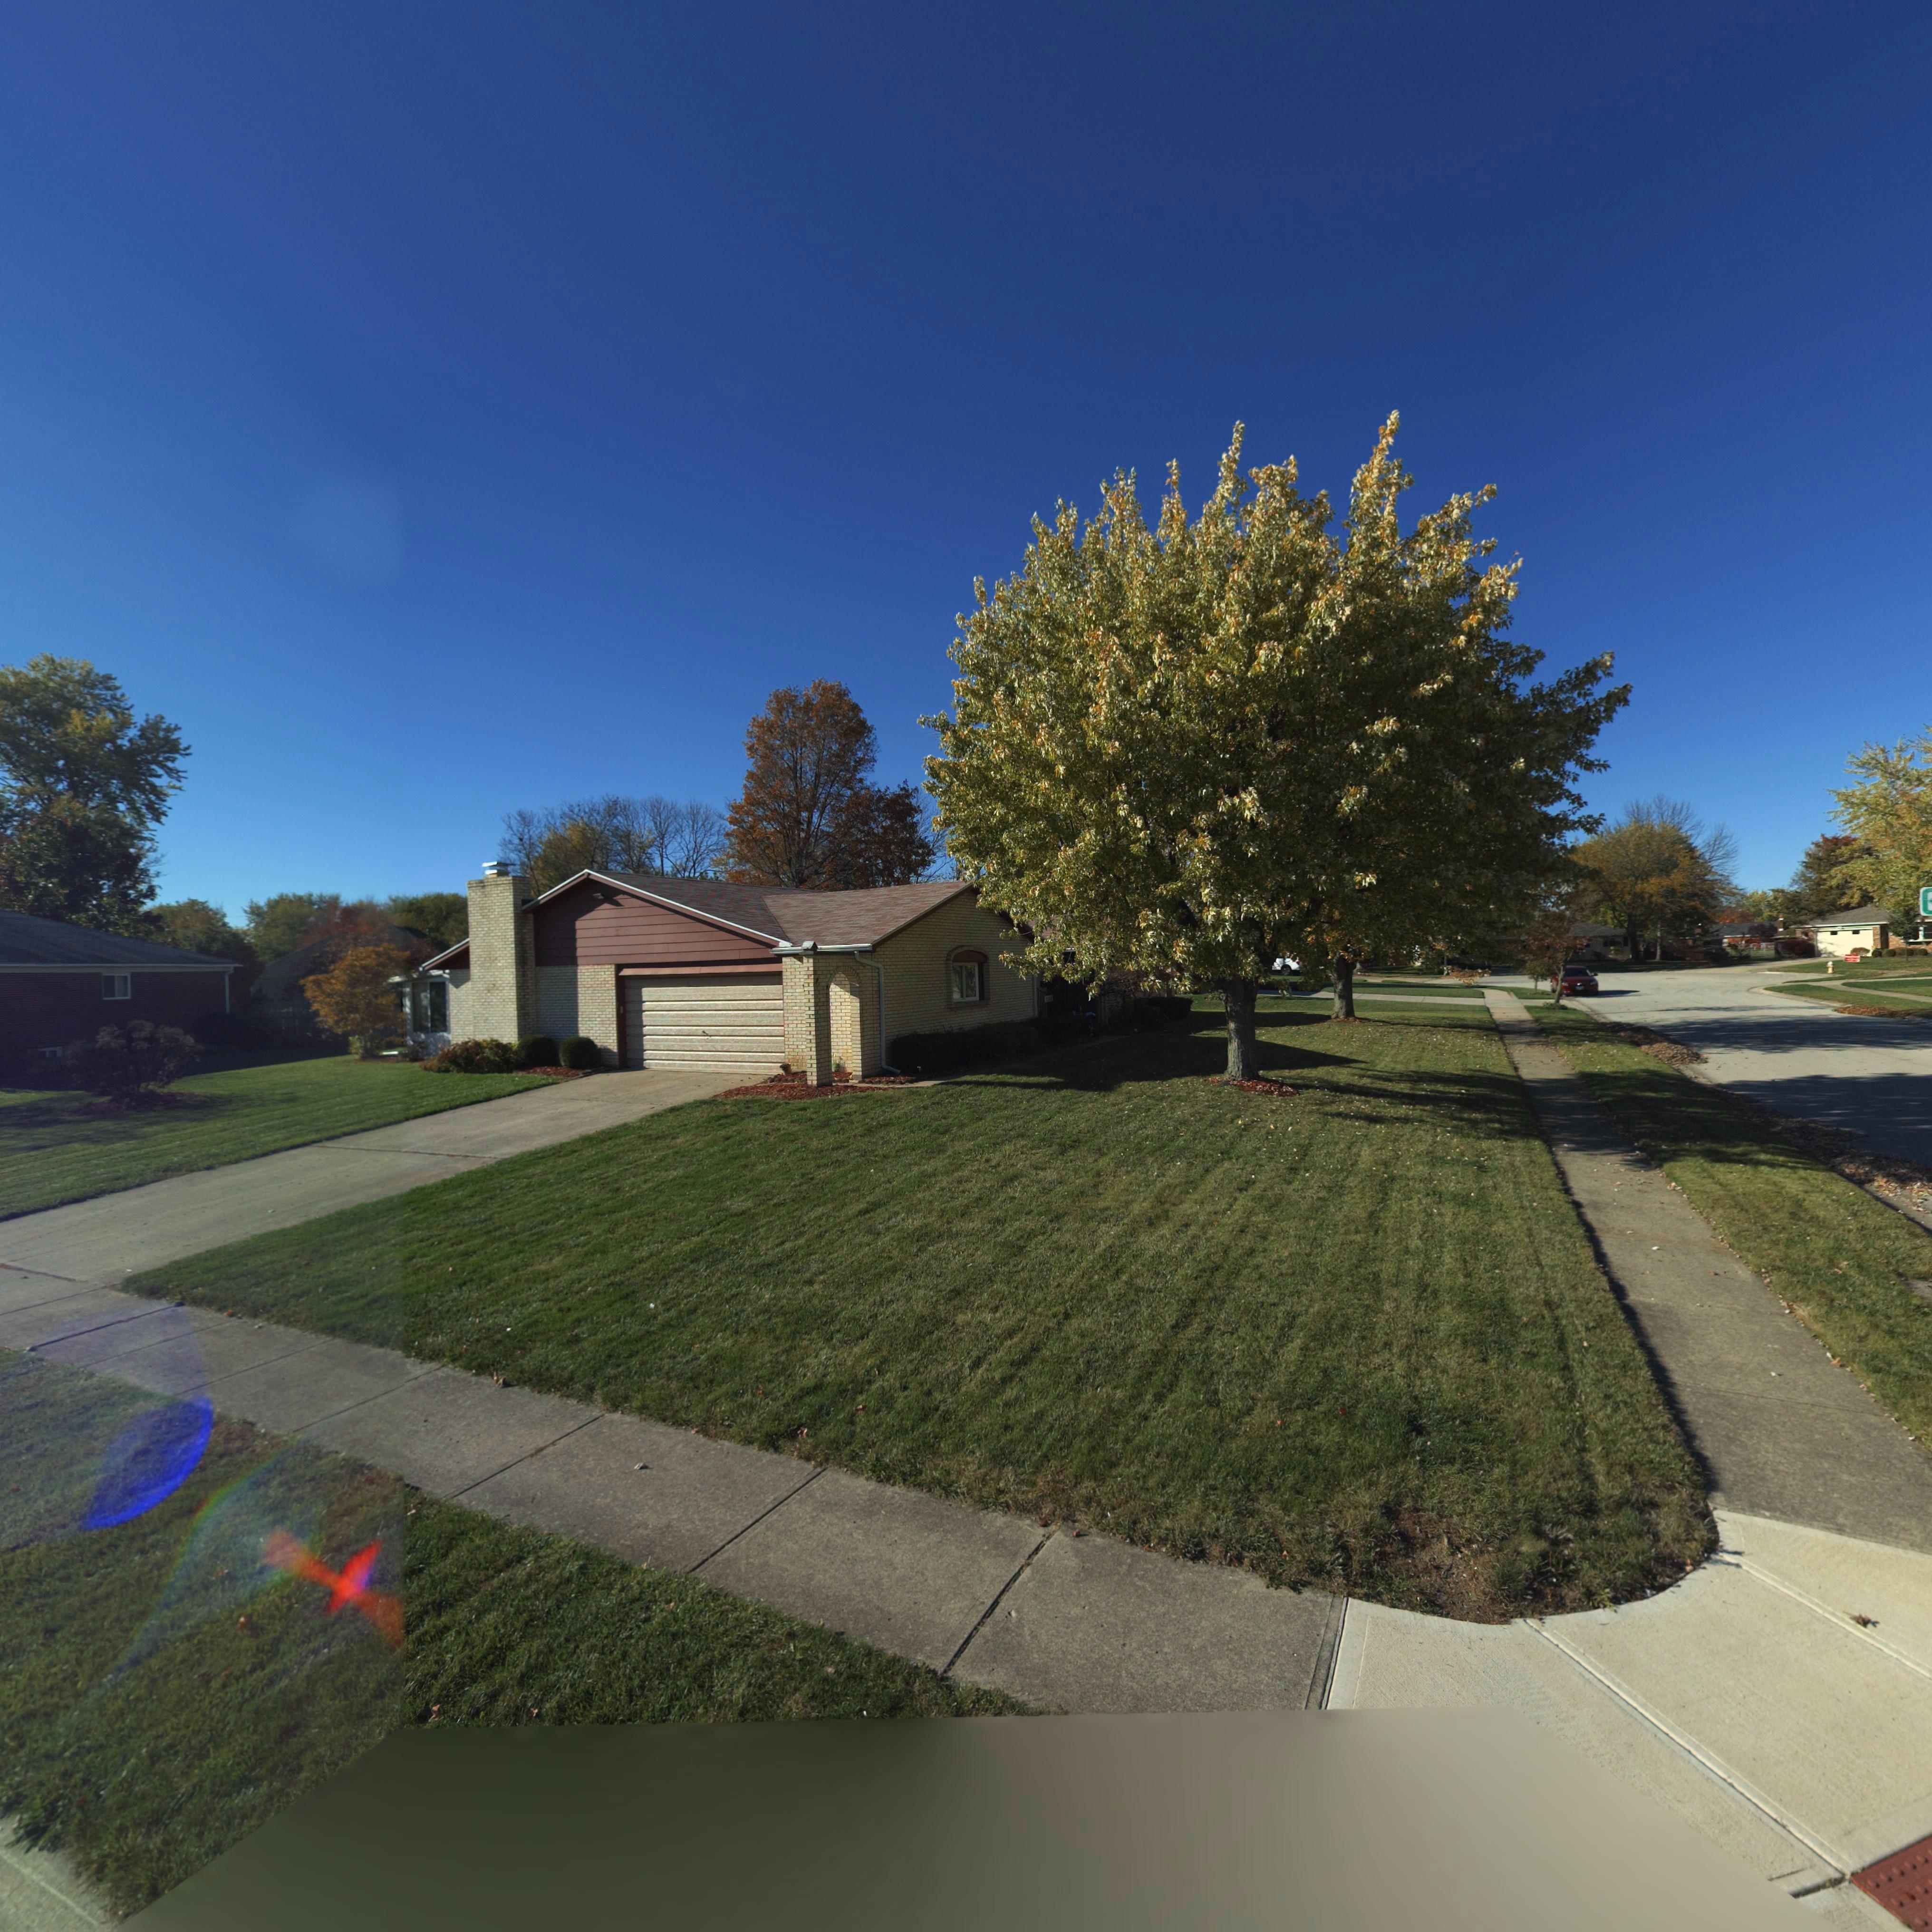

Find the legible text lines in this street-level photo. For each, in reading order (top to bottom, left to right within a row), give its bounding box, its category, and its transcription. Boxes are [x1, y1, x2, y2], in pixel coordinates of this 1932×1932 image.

[1045, 996, 1053, 1002] StreetNumber: 70*7